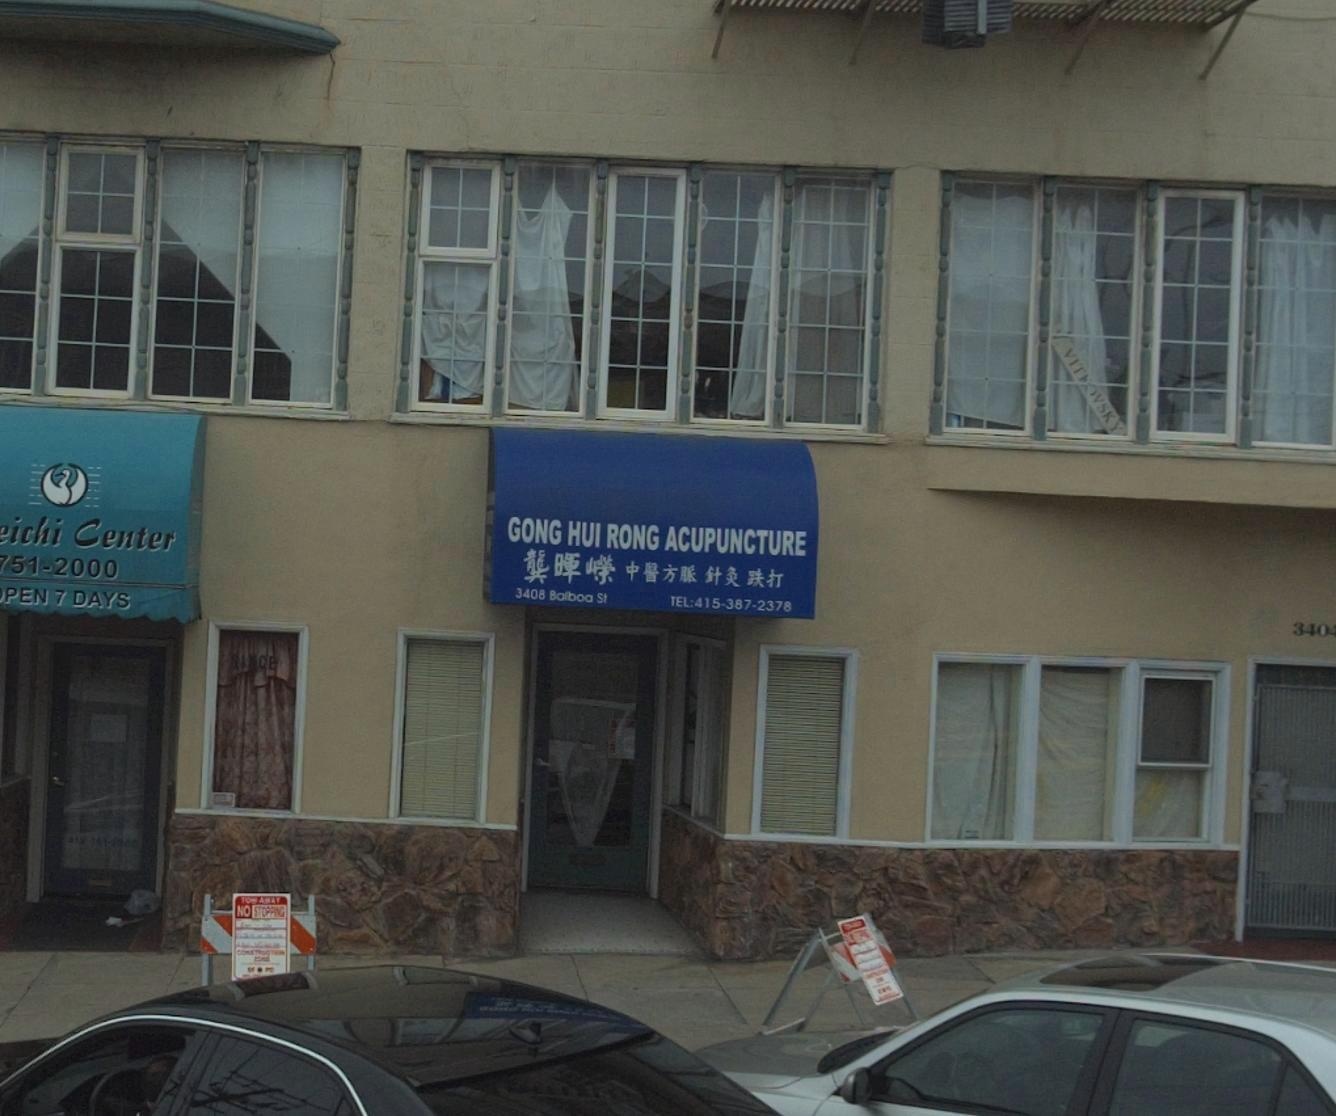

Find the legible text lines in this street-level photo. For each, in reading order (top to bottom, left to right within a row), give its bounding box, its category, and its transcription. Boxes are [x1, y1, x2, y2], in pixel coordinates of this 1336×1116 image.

[8, 514, 178, 553] BusinessName: ichi Center
[506, 514, 809, 560] BusinessName: Gong Hui Rong Acupuncture
[9, 553, 120, 581] None: 51-2000
[3, 585, 131, 611] None: PEN 7 DAYS
[514, 586, 547, 602] StreetNumber: 3408
[548, 588, 609, 605] StreetName: Balboa St
[668, 594, 793, 614] None: TEL:415-387-2378
[1291, 620, 1331, 639] StreetNumber: 340
[228, 652, 277, 672] None: SINCE
[239, 895, 282, 904] None: TOWAWAY
[235, 904, 287, 918] None: NO STOPPING
[236, 948, 286, 957] None: Construction